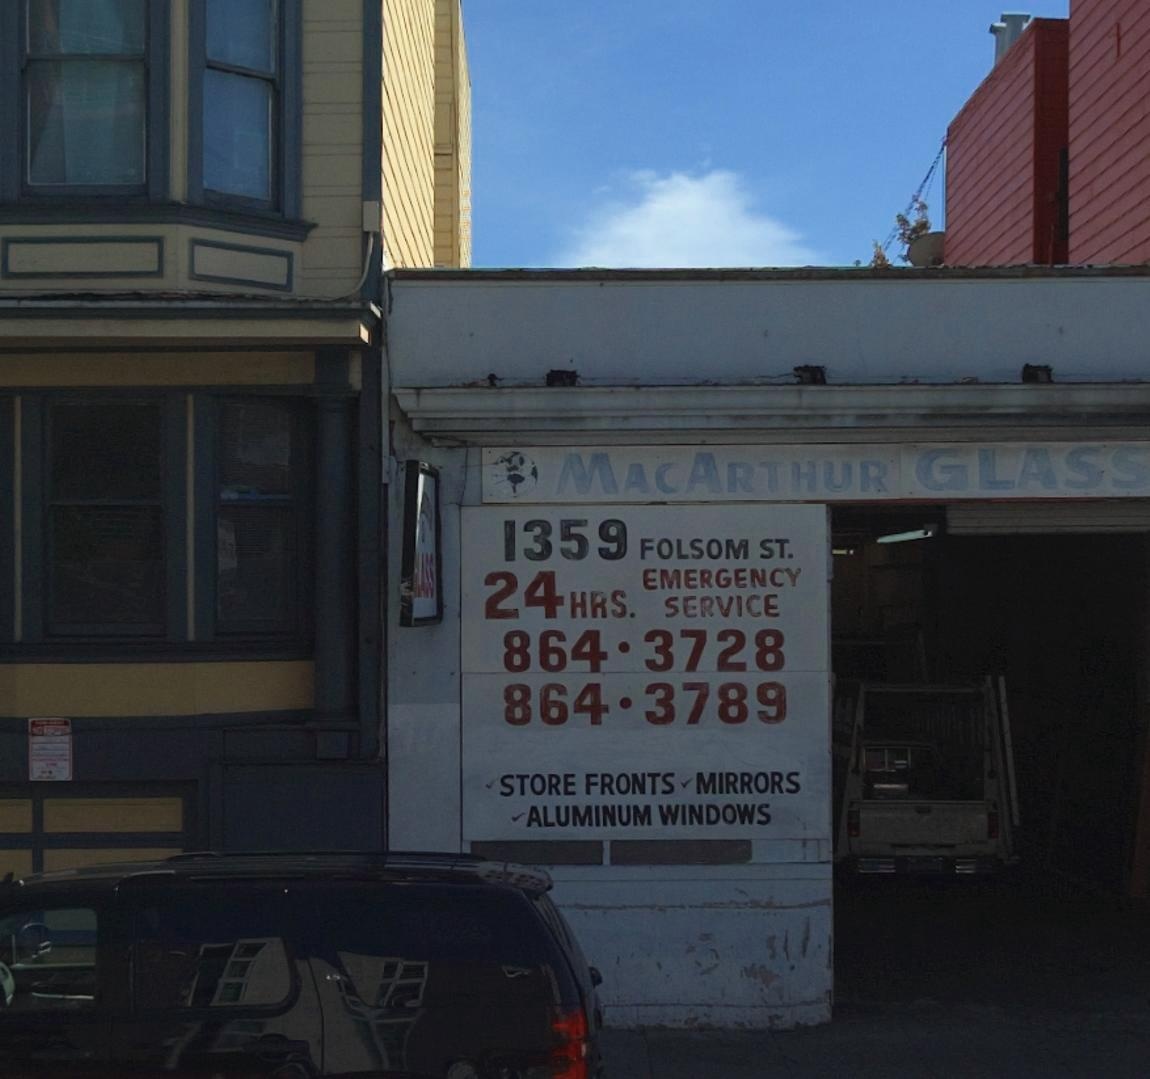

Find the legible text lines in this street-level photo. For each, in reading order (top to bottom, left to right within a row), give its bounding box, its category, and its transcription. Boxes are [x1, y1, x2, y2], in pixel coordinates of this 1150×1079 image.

[546, 443, 1150, 503] BusinessName: MACARTHUR GLASS
[498, 515, 631, 566] StreetNumber: 1359
[637, 532, 798, 565] StreetName: FOLSOM ST.
[416, 548, 438, 605] None: ASS
[480, 565, 785, 624] None: 24 HRS. SERVICE
[638, 563, 809, 593] None: EMERGENCY
[498, 624, 792, 678] None: 864*3728
[498, 678, 794, 731] None: 864*3789
[493, 768, 804, 800] None: STORE FRONTS*MIRRORS
[521, 796, 777, 833] None: ALUMINUM WINDOWS